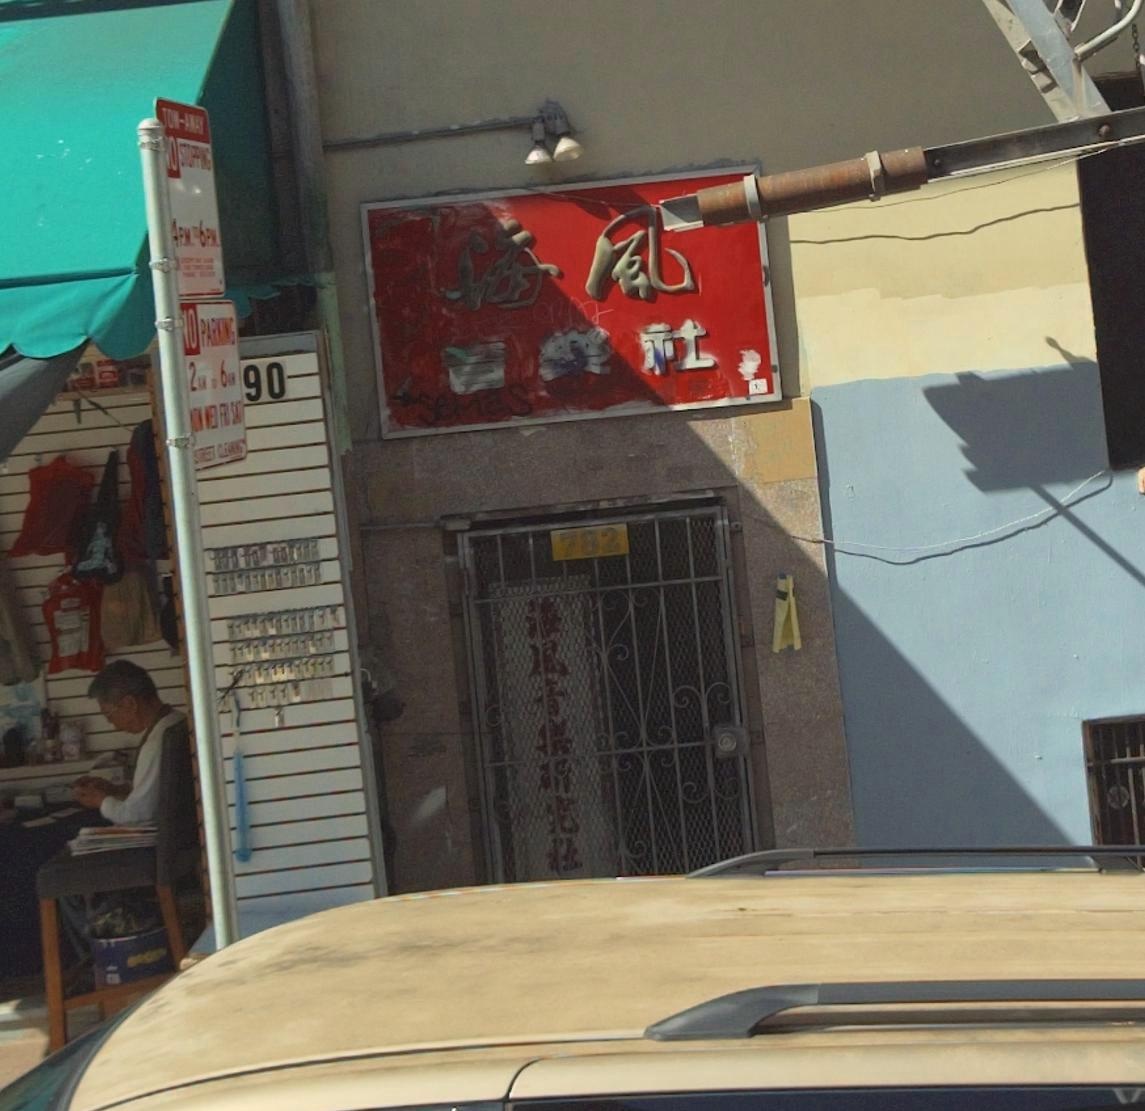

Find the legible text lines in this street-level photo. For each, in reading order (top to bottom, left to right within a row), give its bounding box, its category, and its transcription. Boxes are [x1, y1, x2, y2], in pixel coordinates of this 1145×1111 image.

[160, 105, 206, 138] None: TOW-AWAY
[167, 133, 214, 173] None: O STOPPING
[168, 216, 221, 250] None: 4P.M. * 6P.M.
[186, 306, 238, 350] None: O PARKING
[186, 357, 240, 393] None: 2AM * 6AM
[240, 359, 289, 404] None: 90
[202, 397, 245, 433] None: WED FRI SAT
[192, 438, 245, 466] None: STREET CLEAN**
[557, 526, 623, 561] StreetNumber: 782